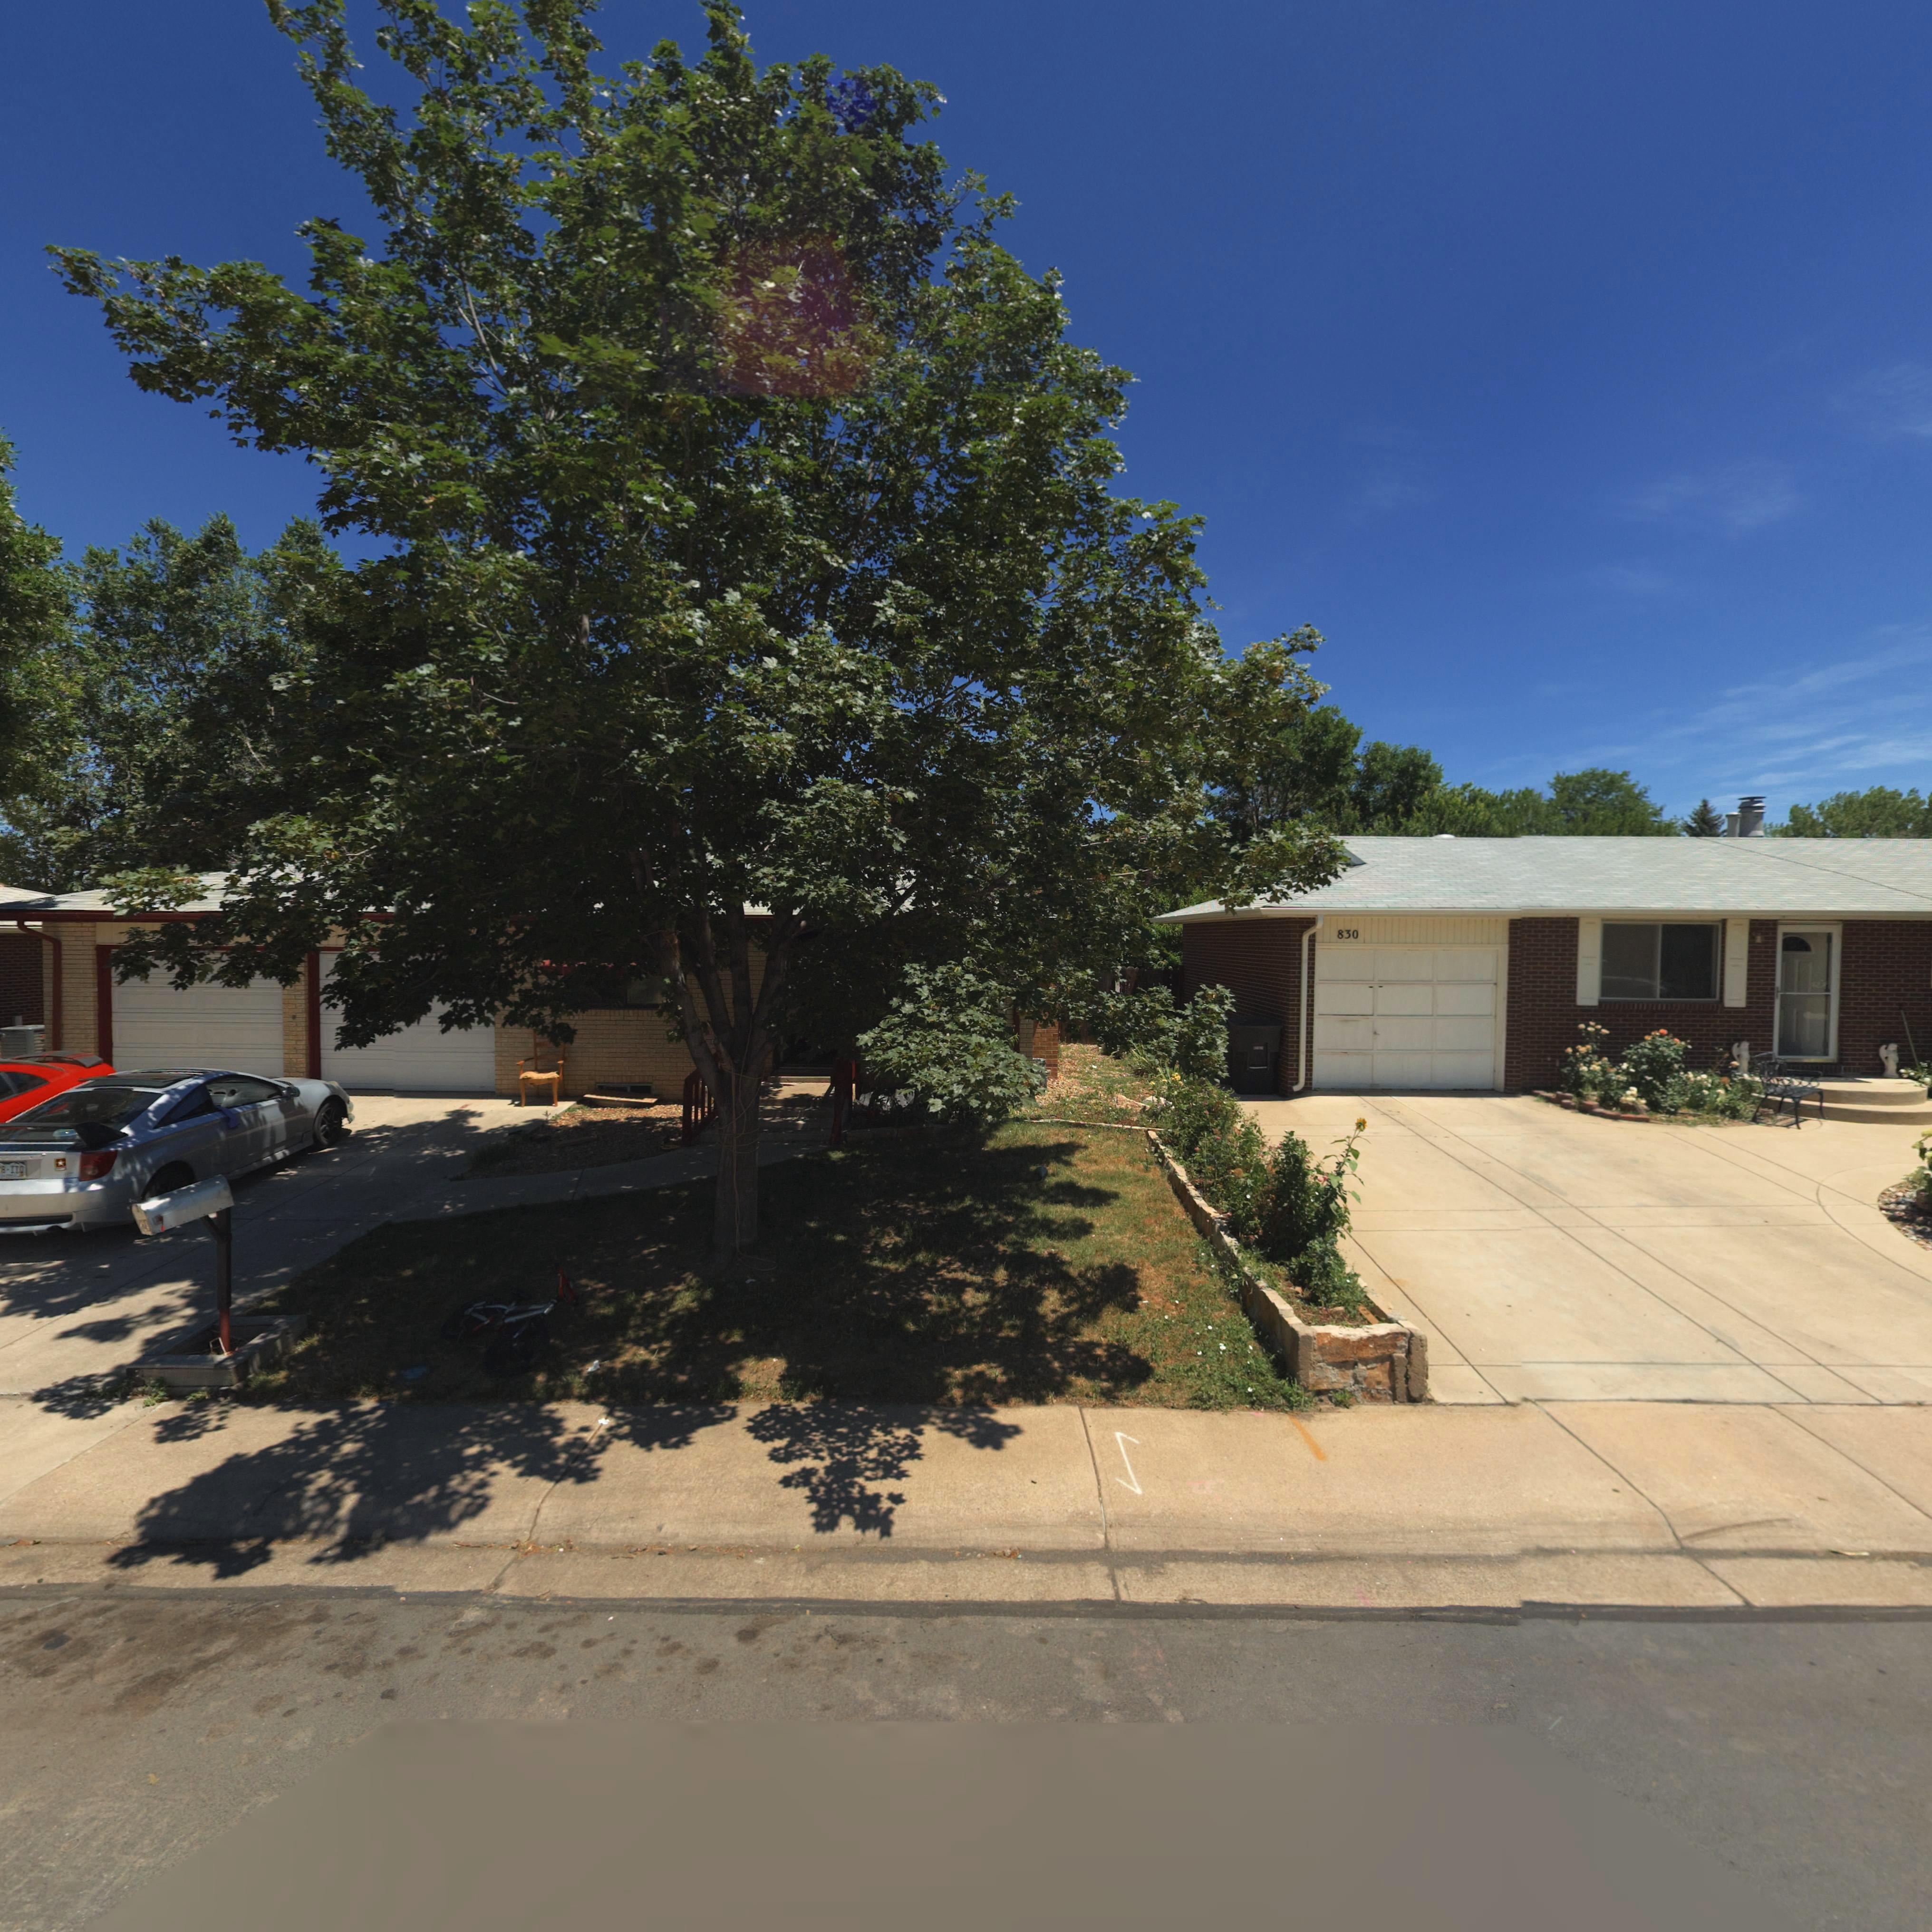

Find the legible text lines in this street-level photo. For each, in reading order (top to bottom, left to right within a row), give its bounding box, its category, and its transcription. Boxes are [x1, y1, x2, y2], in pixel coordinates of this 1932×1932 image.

[1337, 929, 1358, 939] StreetNumber: 830